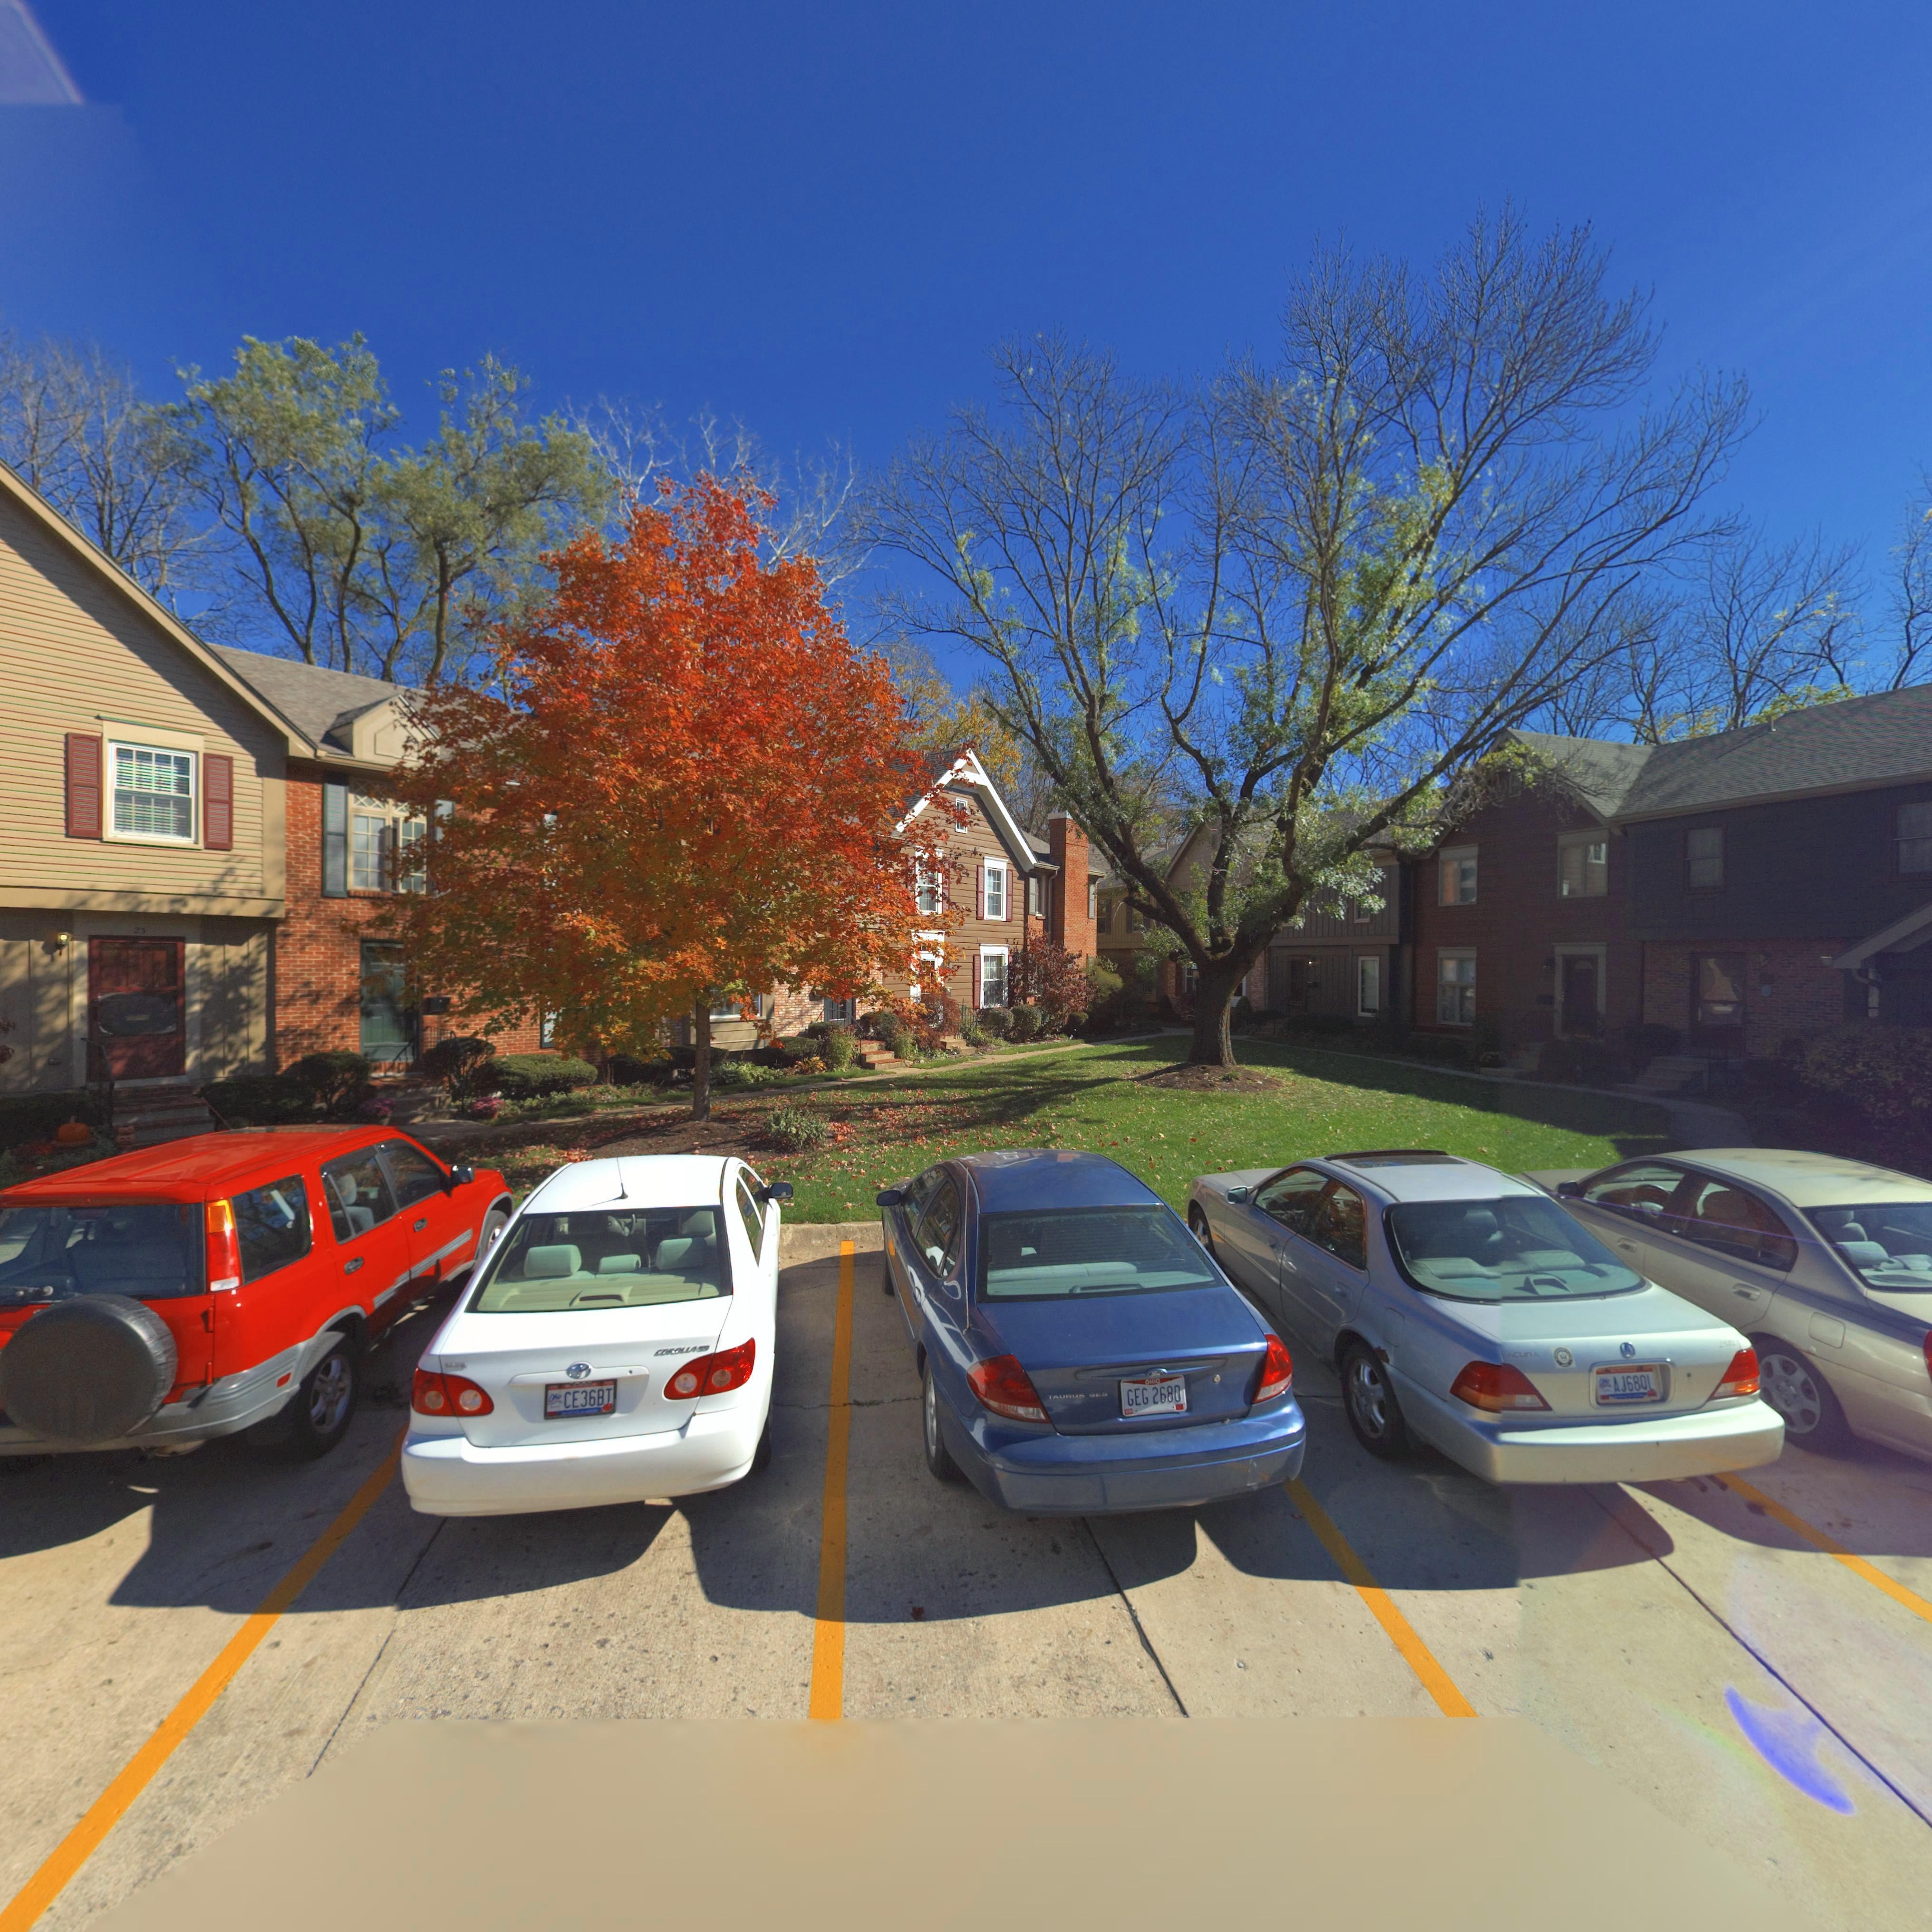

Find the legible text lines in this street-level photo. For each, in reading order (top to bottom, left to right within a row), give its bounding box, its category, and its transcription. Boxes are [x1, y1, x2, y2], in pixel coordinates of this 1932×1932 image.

[134, 927, 145, 934] StreetNumber: 2*
[652, 1345, 698, 1357] None: COROLLA
[1506, 1352, 1541, 1358] None: ACURA
[1144, 1378, 1161, 1386] None: OHIO
[1613, 1374, 1656, 1393] None: AJ68OL
[563, 1387, 614, 1410] None: CE36BT
[1046, 1391, 1109, 1400] None: TAURUS SES
[1126, 1384, 1182, 1407] None: GEG*2680